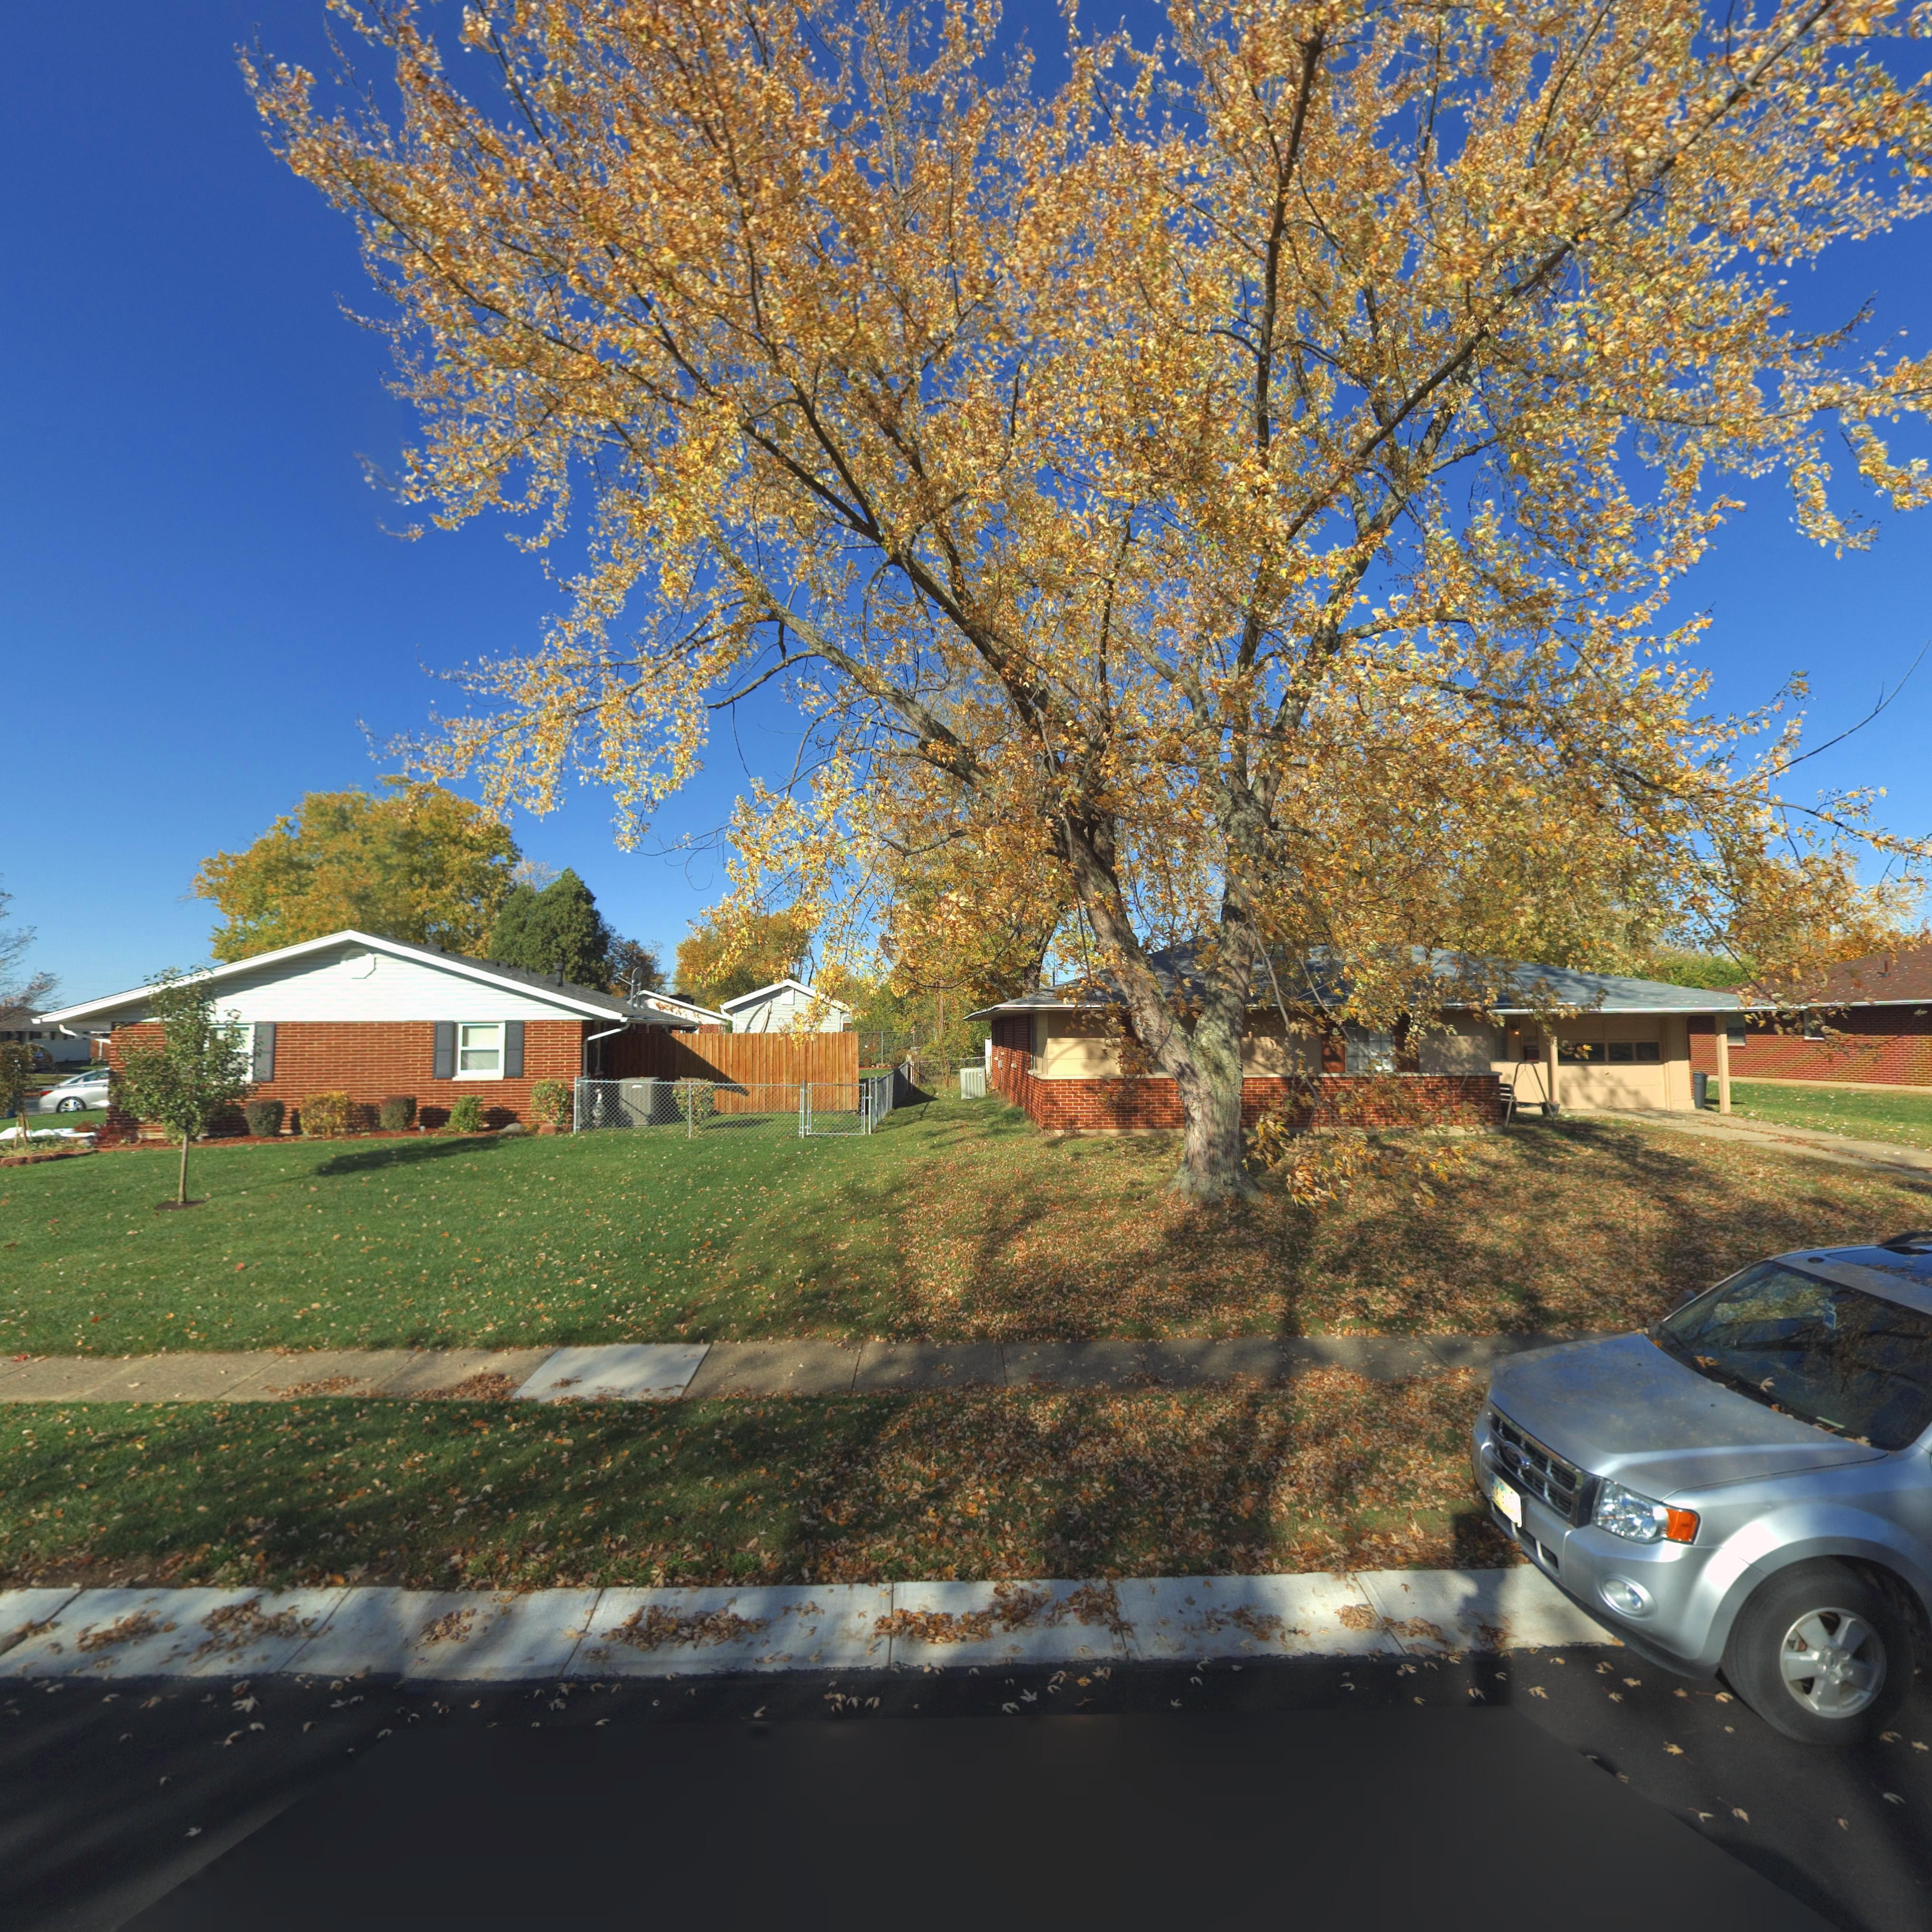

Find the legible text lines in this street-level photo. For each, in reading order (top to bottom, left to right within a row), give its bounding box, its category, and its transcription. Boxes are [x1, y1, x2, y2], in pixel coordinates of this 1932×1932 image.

[1522, 1035, 1537, 1043] StreetNumber: 7***